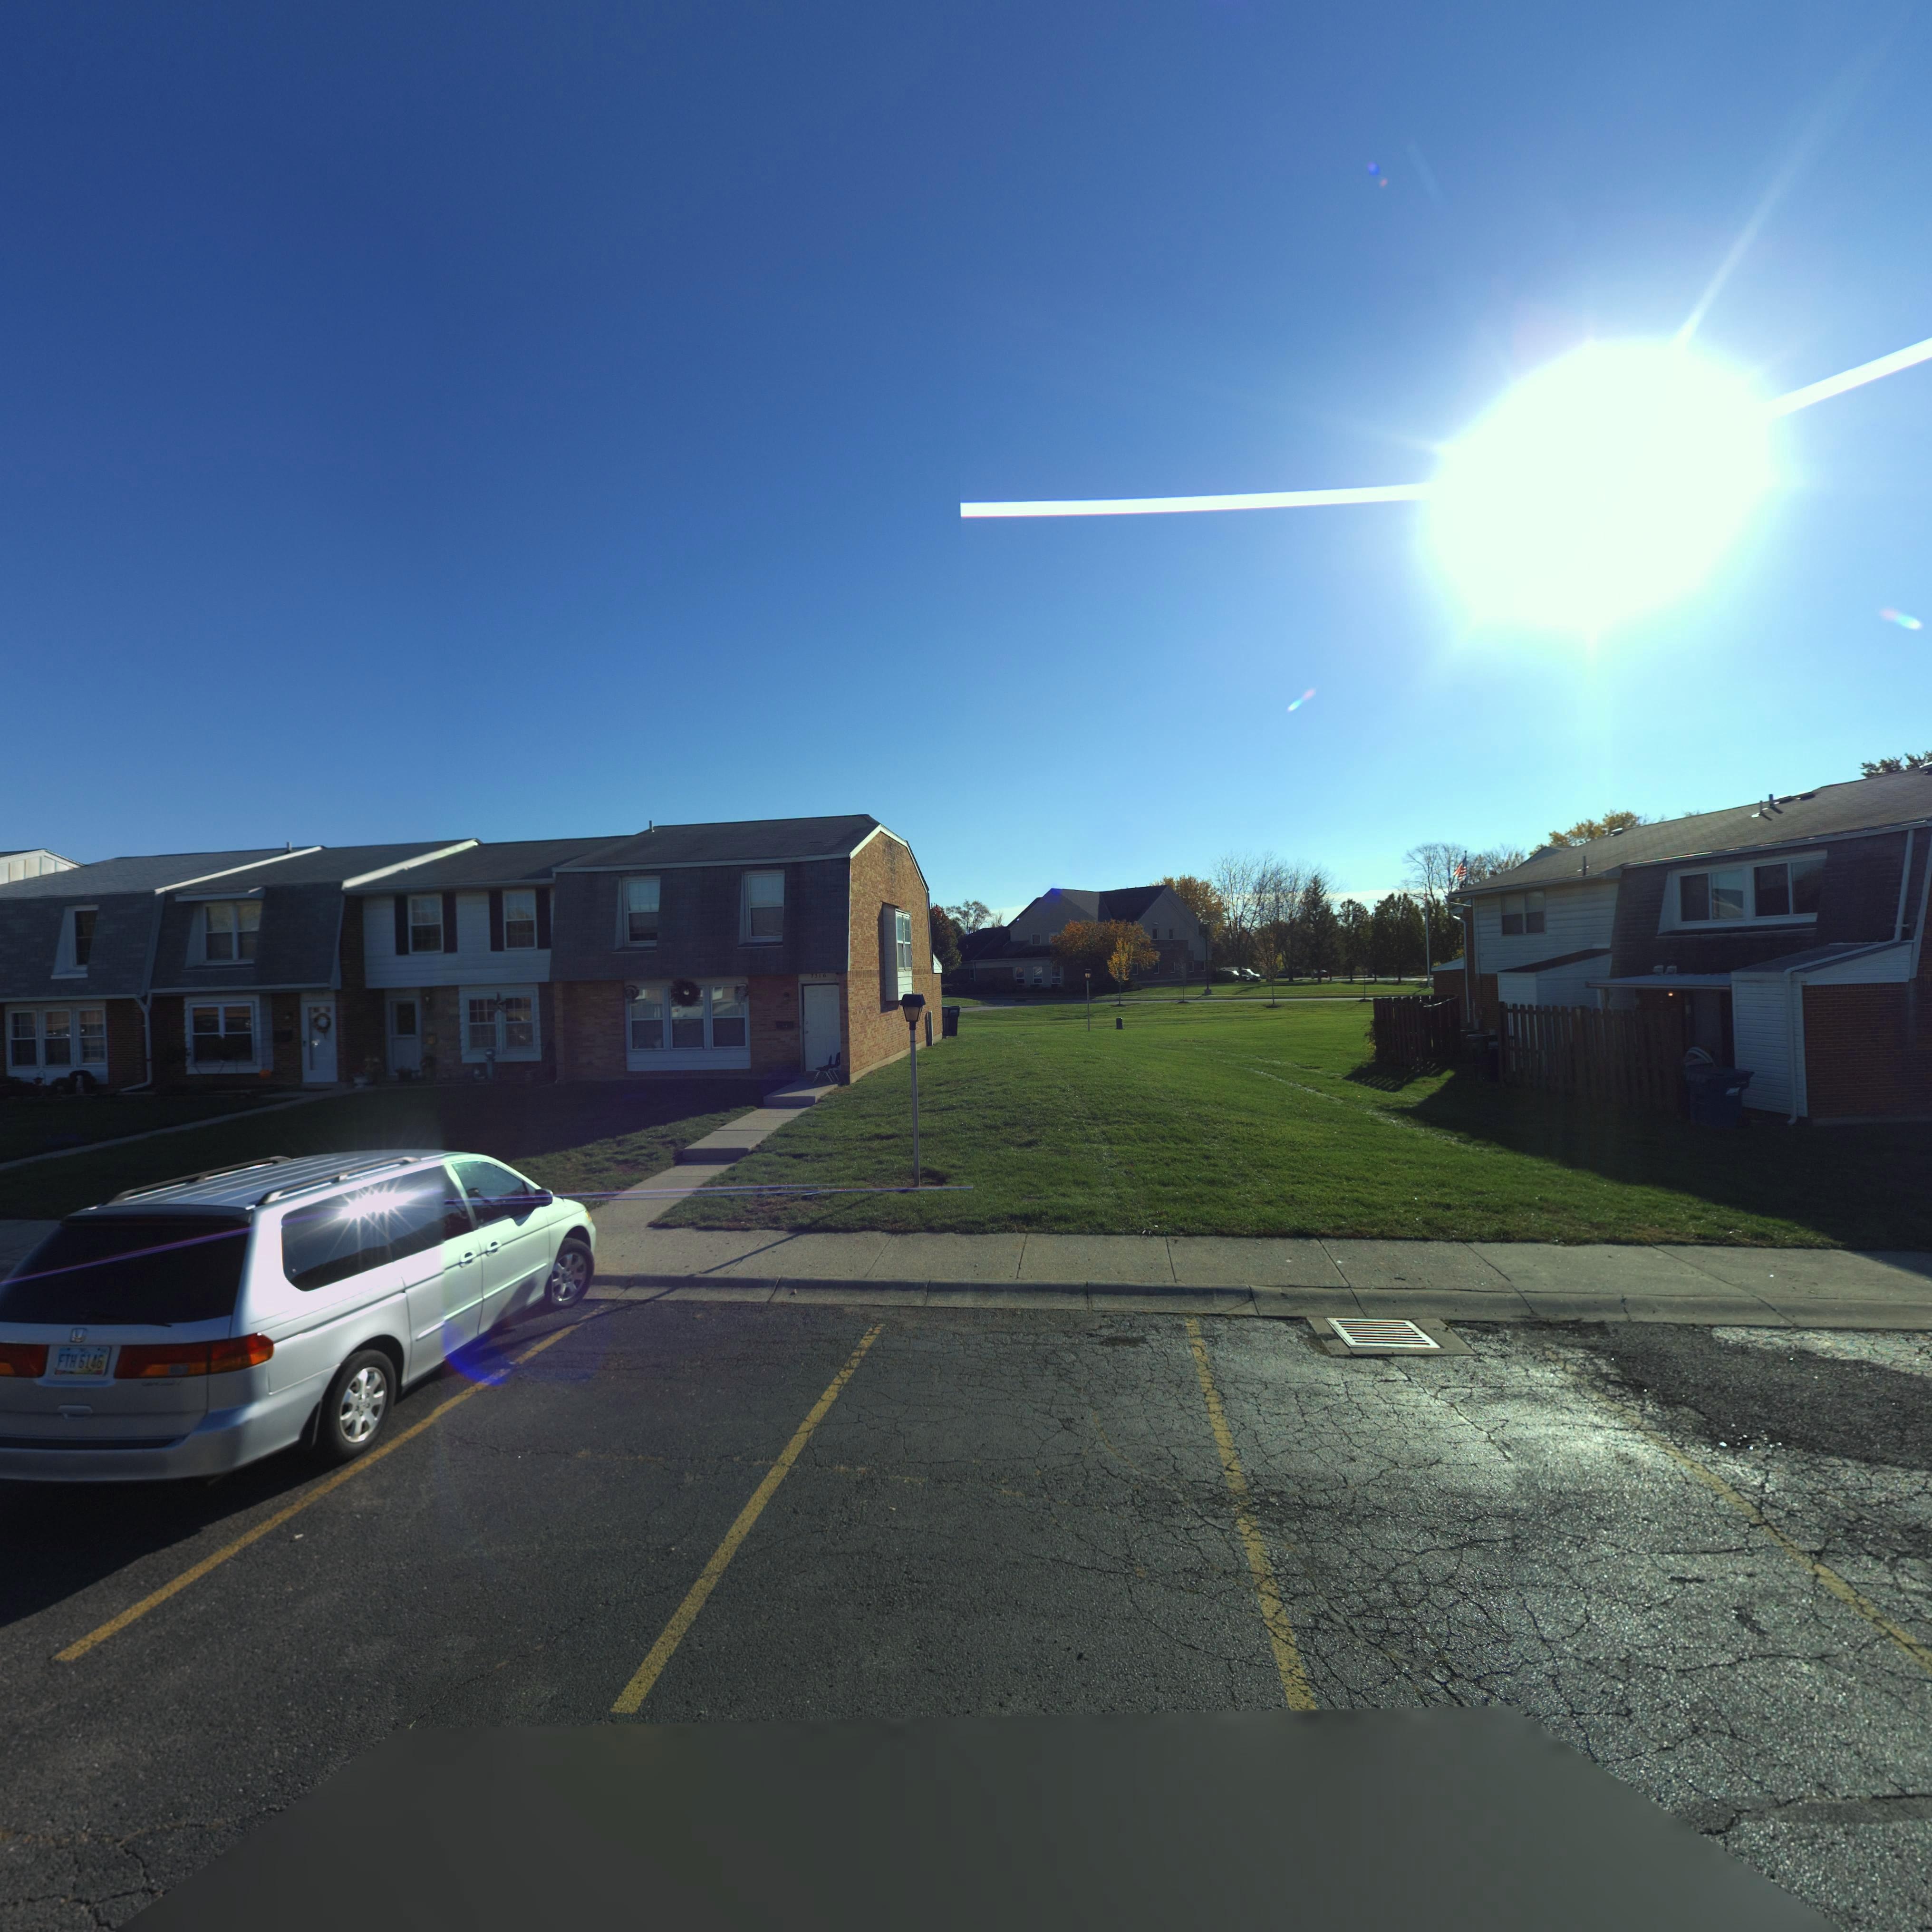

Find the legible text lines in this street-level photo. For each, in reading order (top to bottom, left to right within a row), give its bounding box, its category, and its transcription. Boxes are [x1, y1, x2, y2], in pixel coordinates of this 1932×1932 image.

[810, 973, 826, 978] StreetNumber: 7516